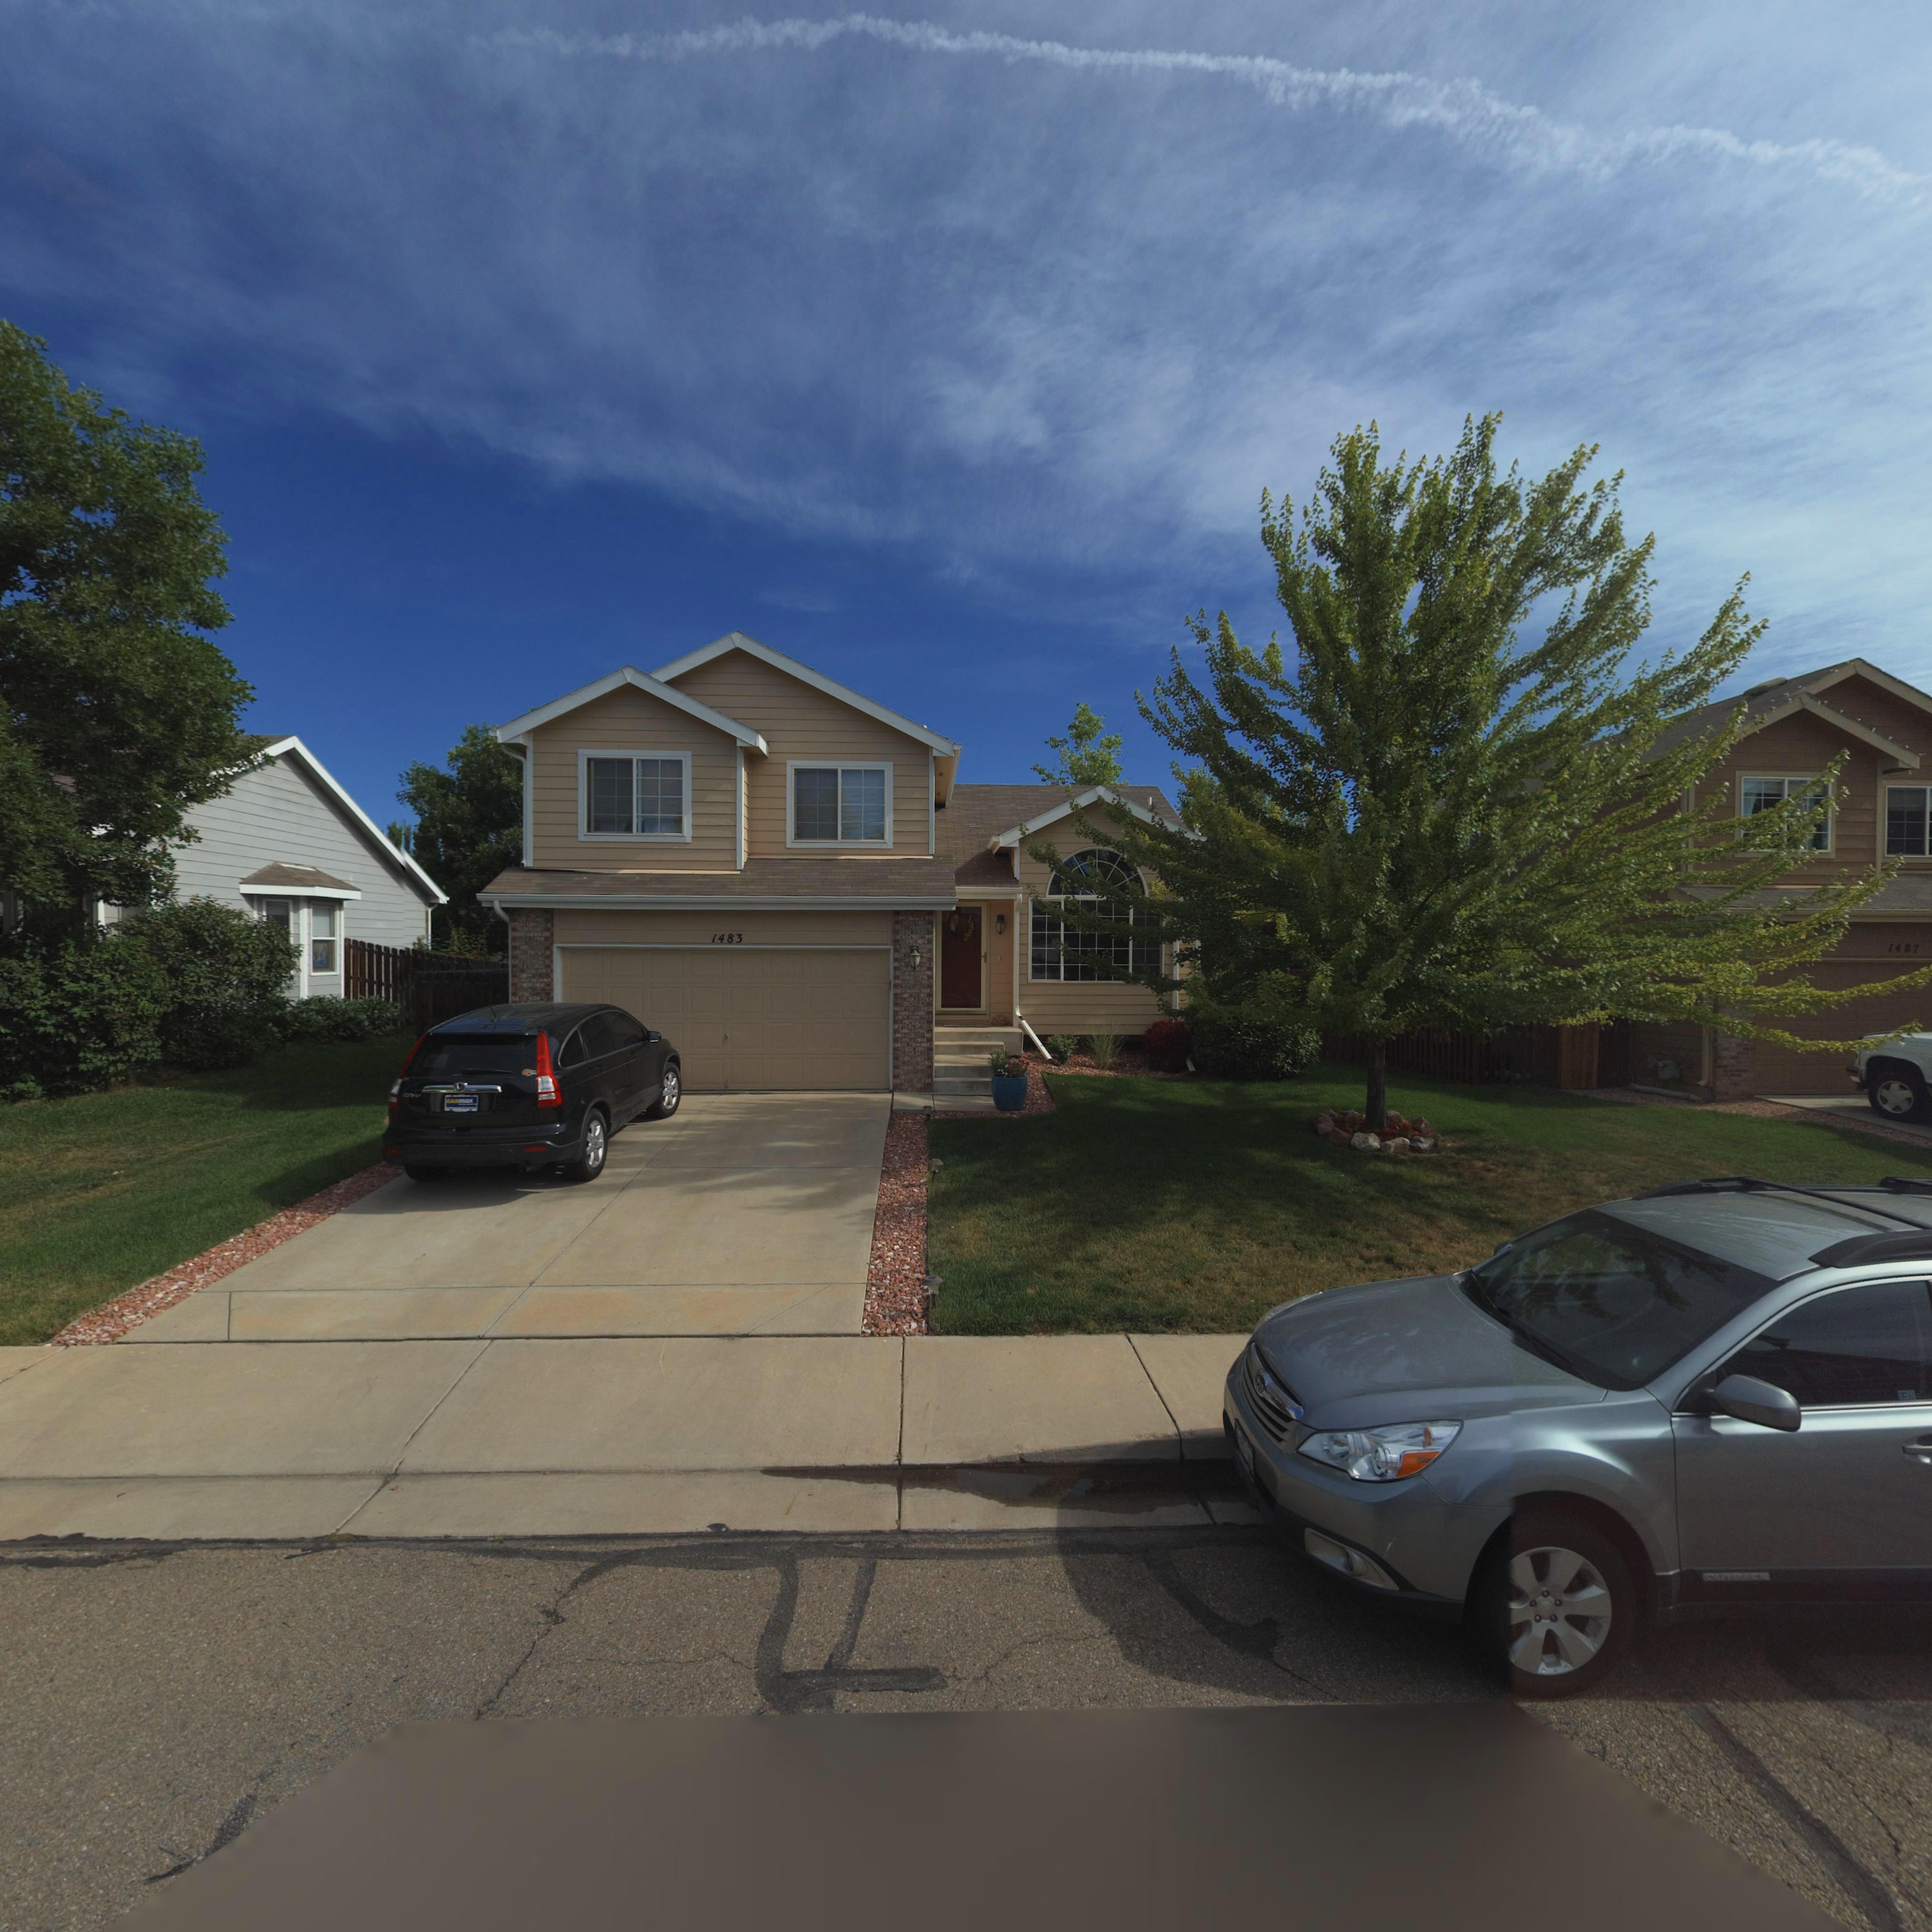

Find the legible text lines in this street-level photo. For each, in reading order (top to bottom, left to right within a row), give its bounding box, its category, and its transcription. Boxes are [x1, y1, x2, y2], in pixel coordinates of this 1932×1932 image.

[963, 914, 975, 942] StreetNumber: 1483
[710, 932, 743, 944] StreetNumber: 1483
[1886, 942, 1920, 954] StreetNumber: 1487